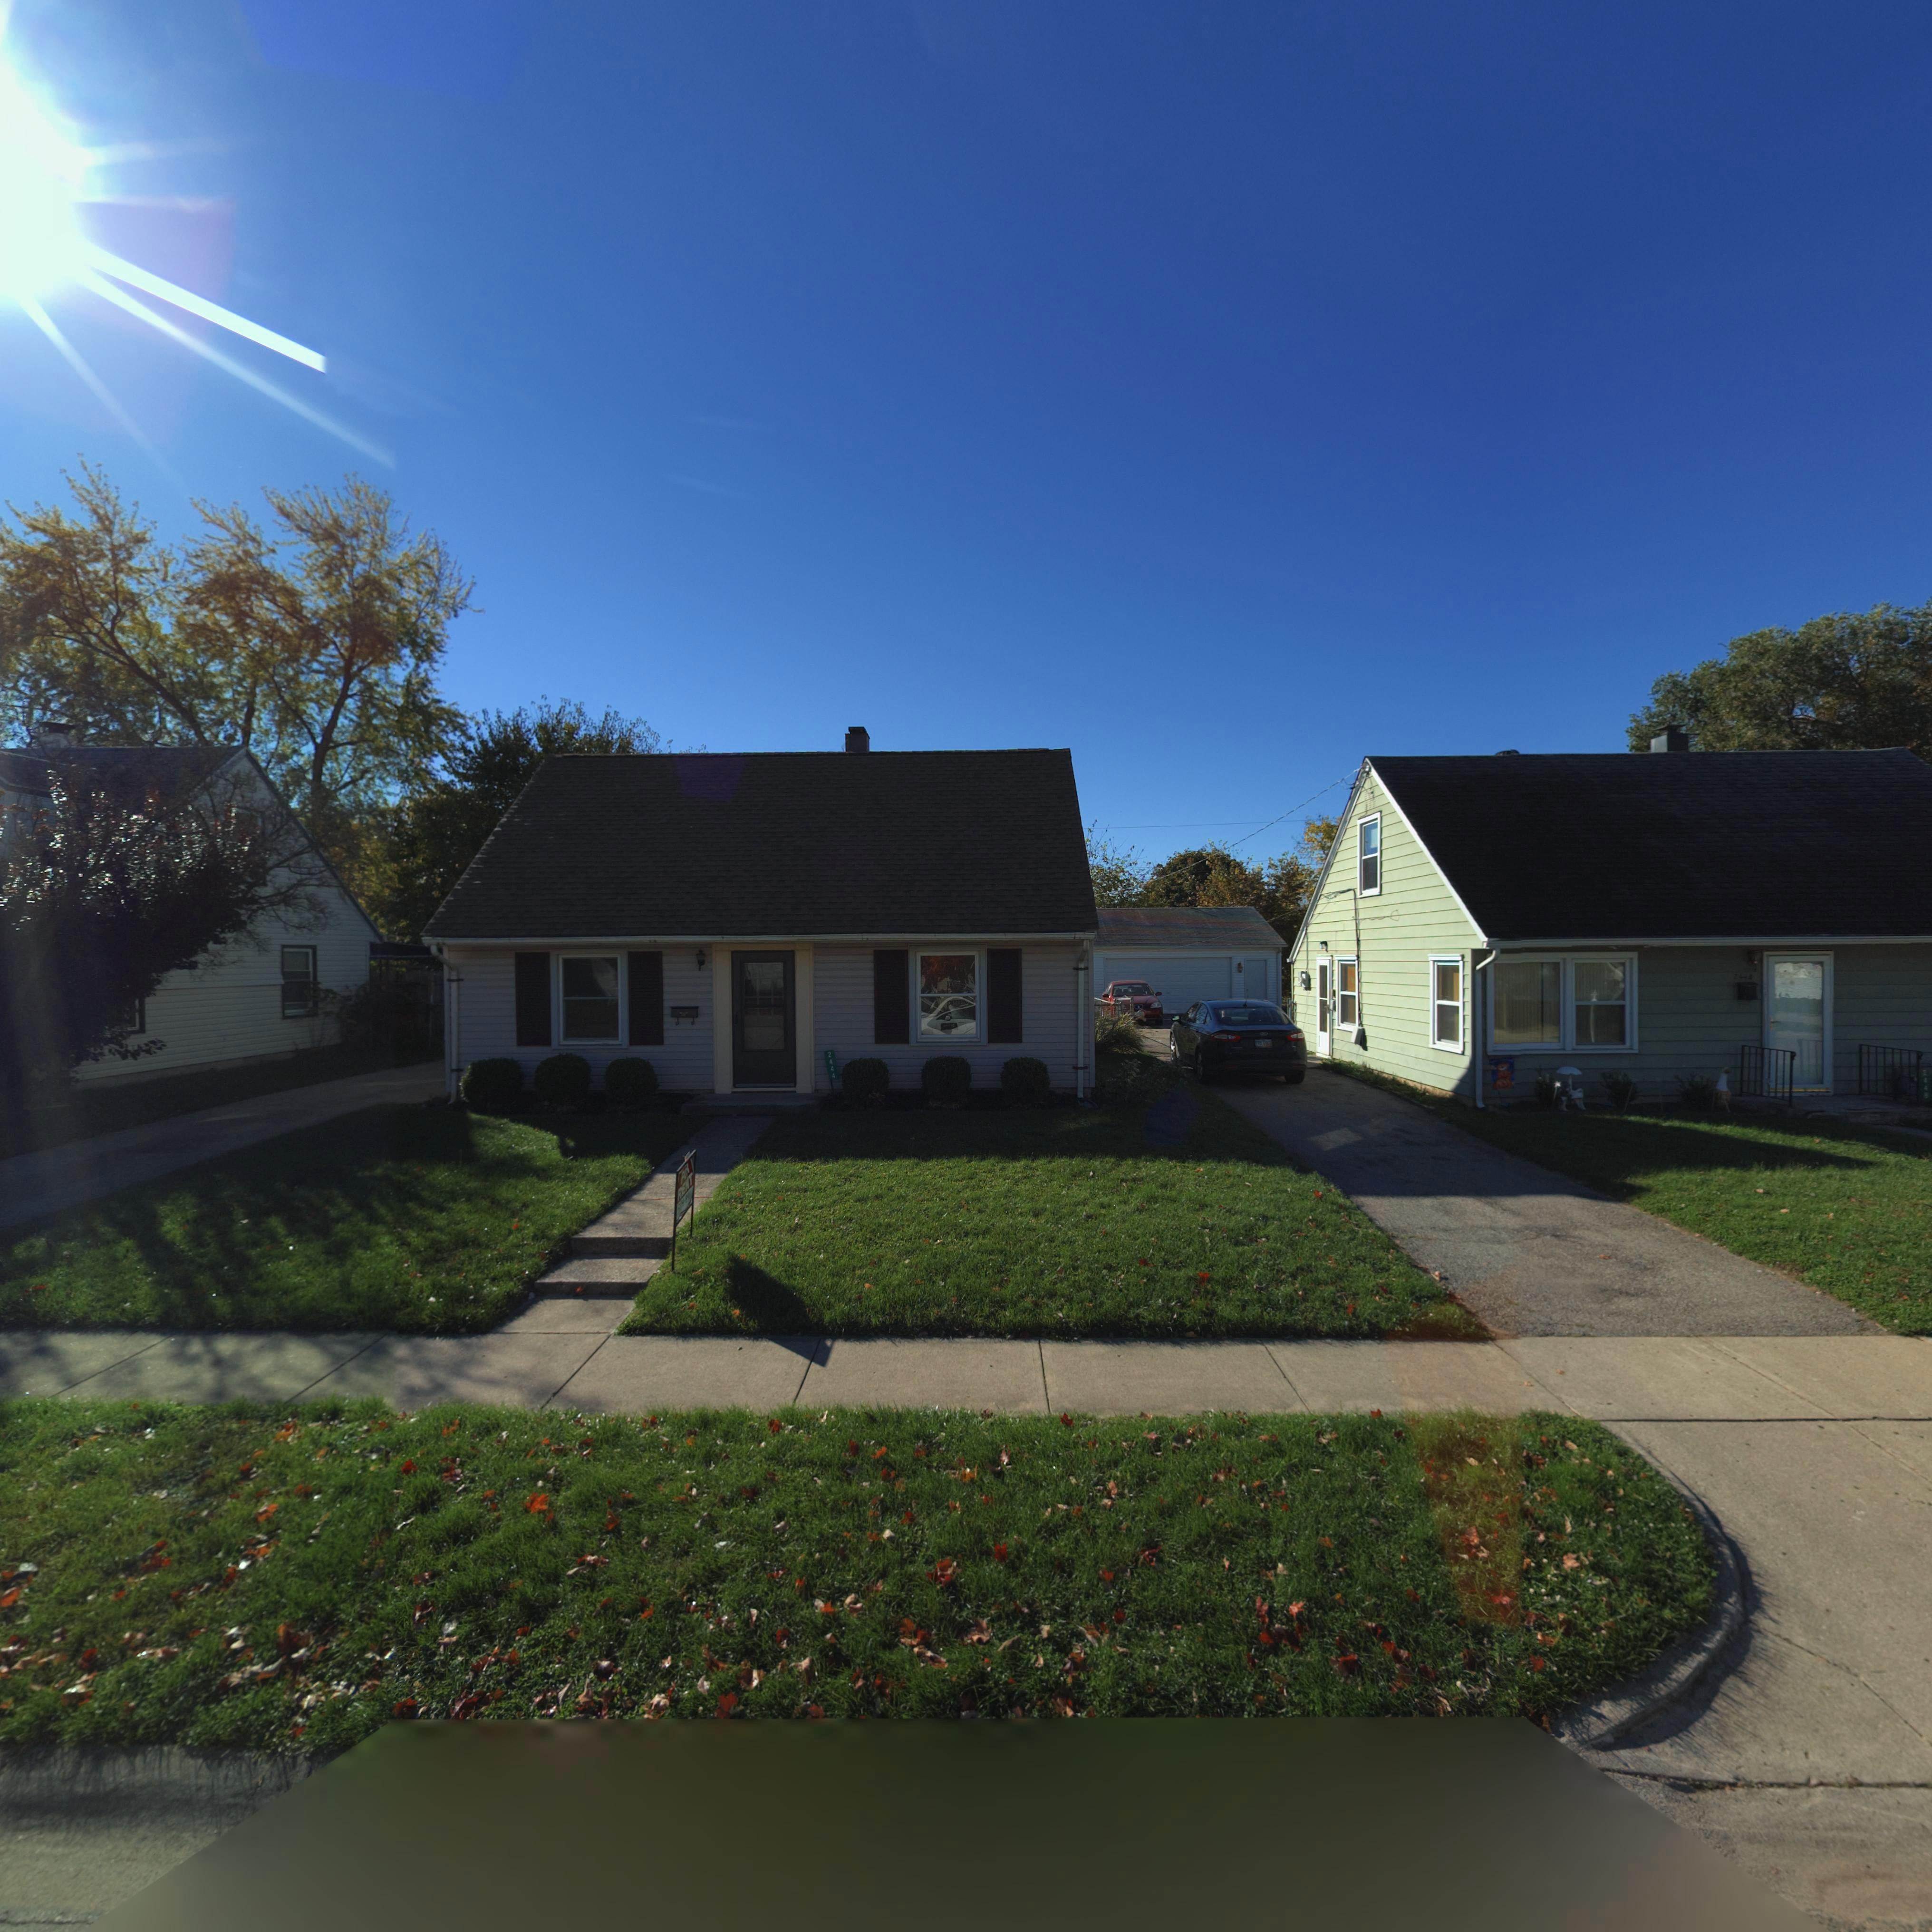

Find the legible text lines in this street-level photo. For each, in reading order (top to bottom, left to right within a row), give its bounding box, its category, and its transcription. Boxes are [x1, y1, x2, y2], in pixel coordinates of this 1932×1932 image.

[826, 1050, 837, 1080] StreetNumber: 2444
[680, 1169, 685, 1186] None: F
[677, 1171, 694, 1204] None: RENT